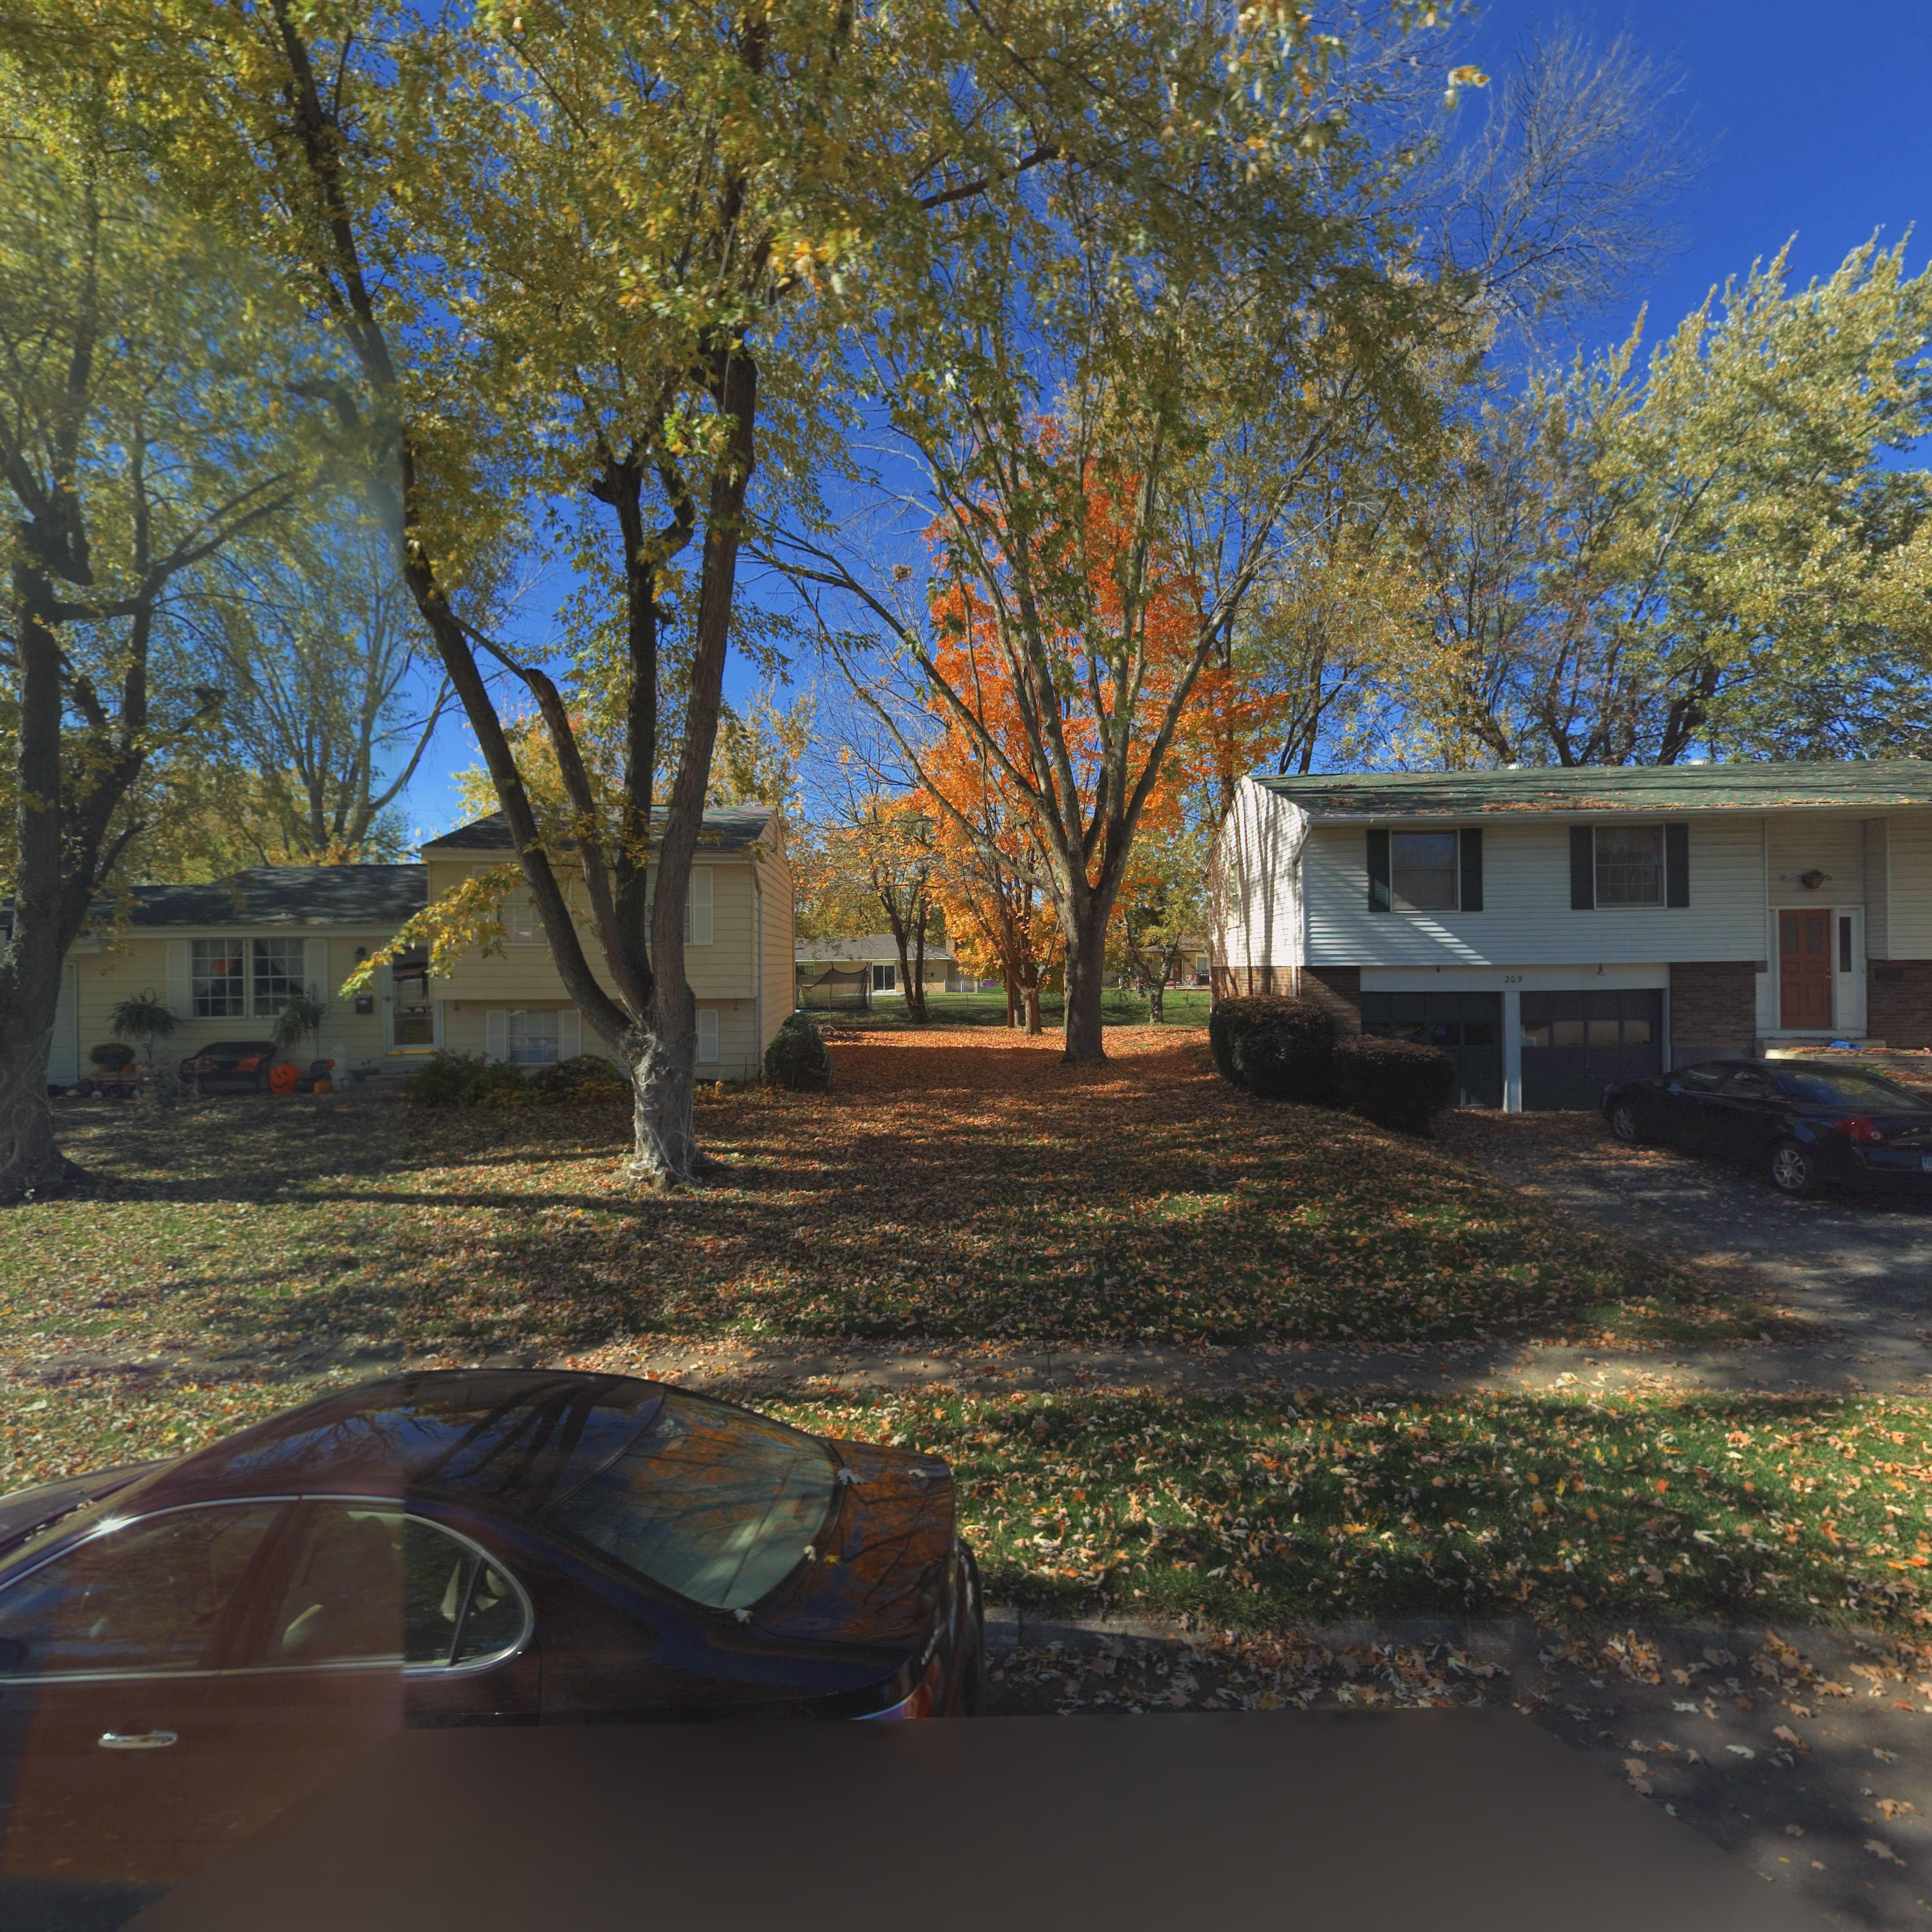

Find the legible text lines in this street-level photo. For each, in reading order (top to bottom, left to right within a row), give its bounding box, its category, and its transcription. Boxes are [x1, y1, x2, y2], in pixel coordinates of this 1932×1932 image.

[1504, 974, 1523, 984] StreetNumber: 209